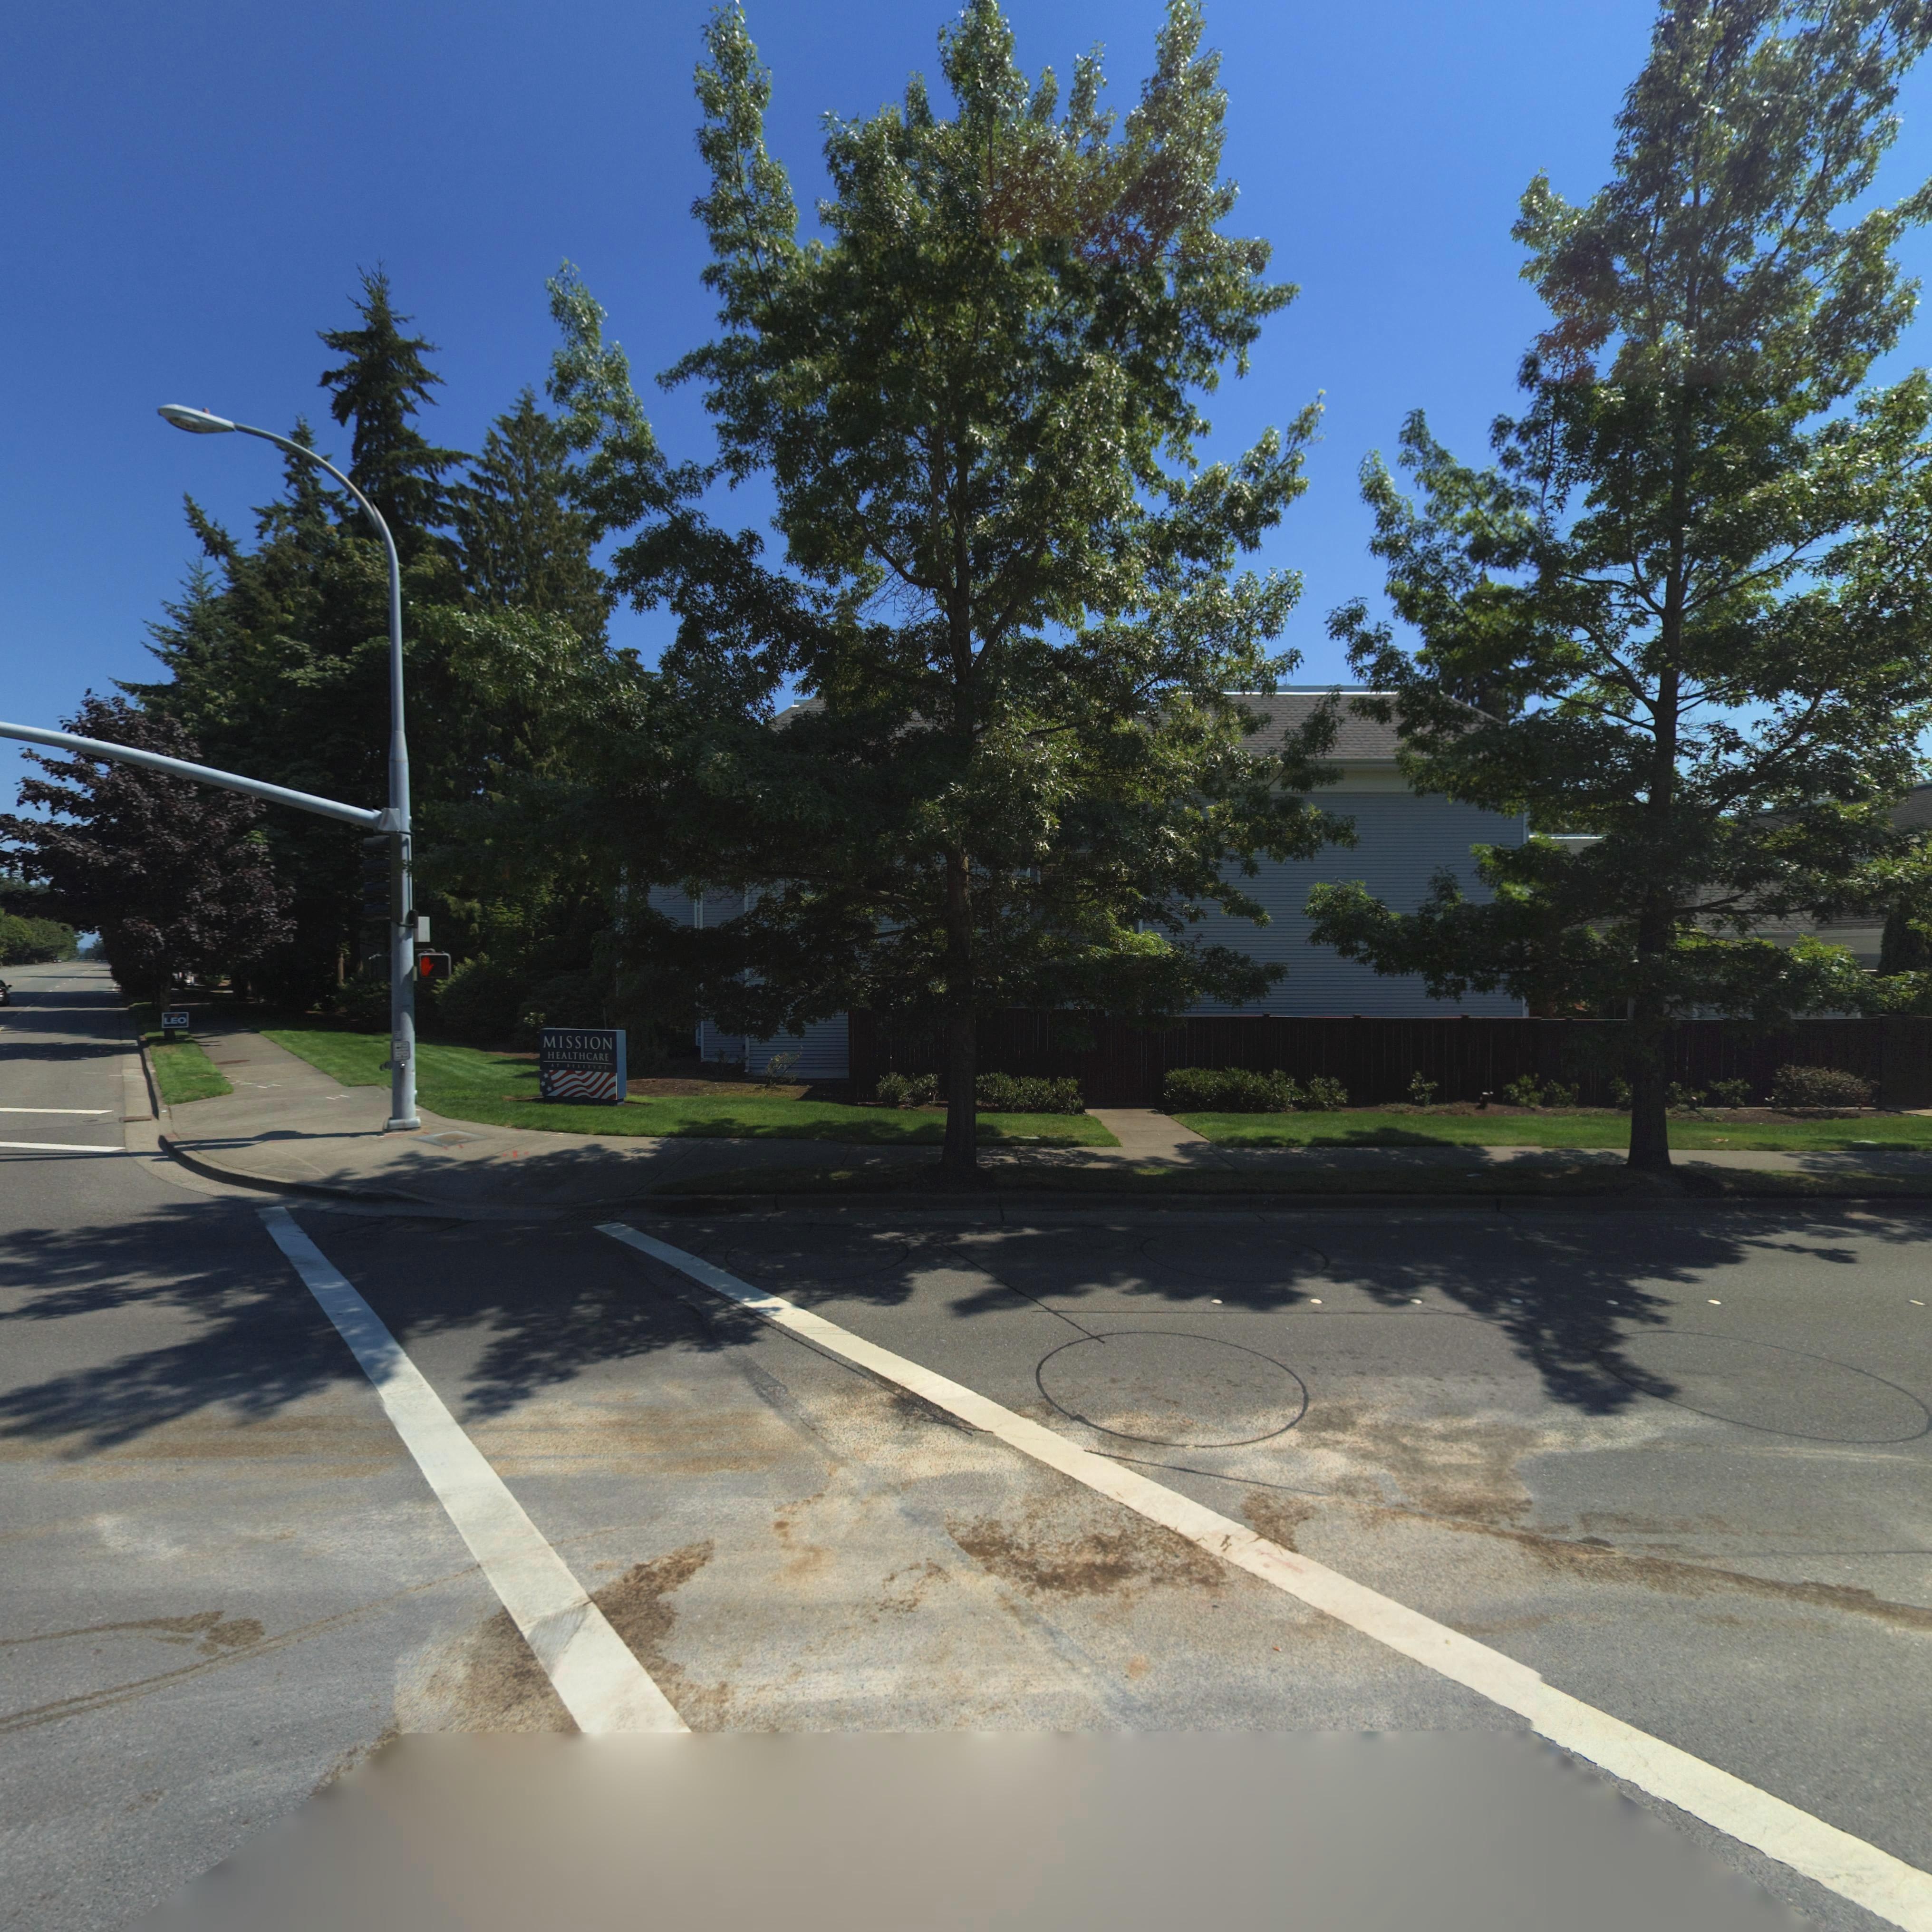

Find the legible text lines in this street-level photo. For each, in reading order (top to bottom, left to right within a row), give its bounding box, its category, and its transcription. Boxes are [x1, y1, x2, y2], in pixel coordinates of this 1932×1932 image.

[542, 1035, 612, 1049] BusinessName: MISSION
[547, 1051, 609, 1061] BusinessName: HEALTHCARE